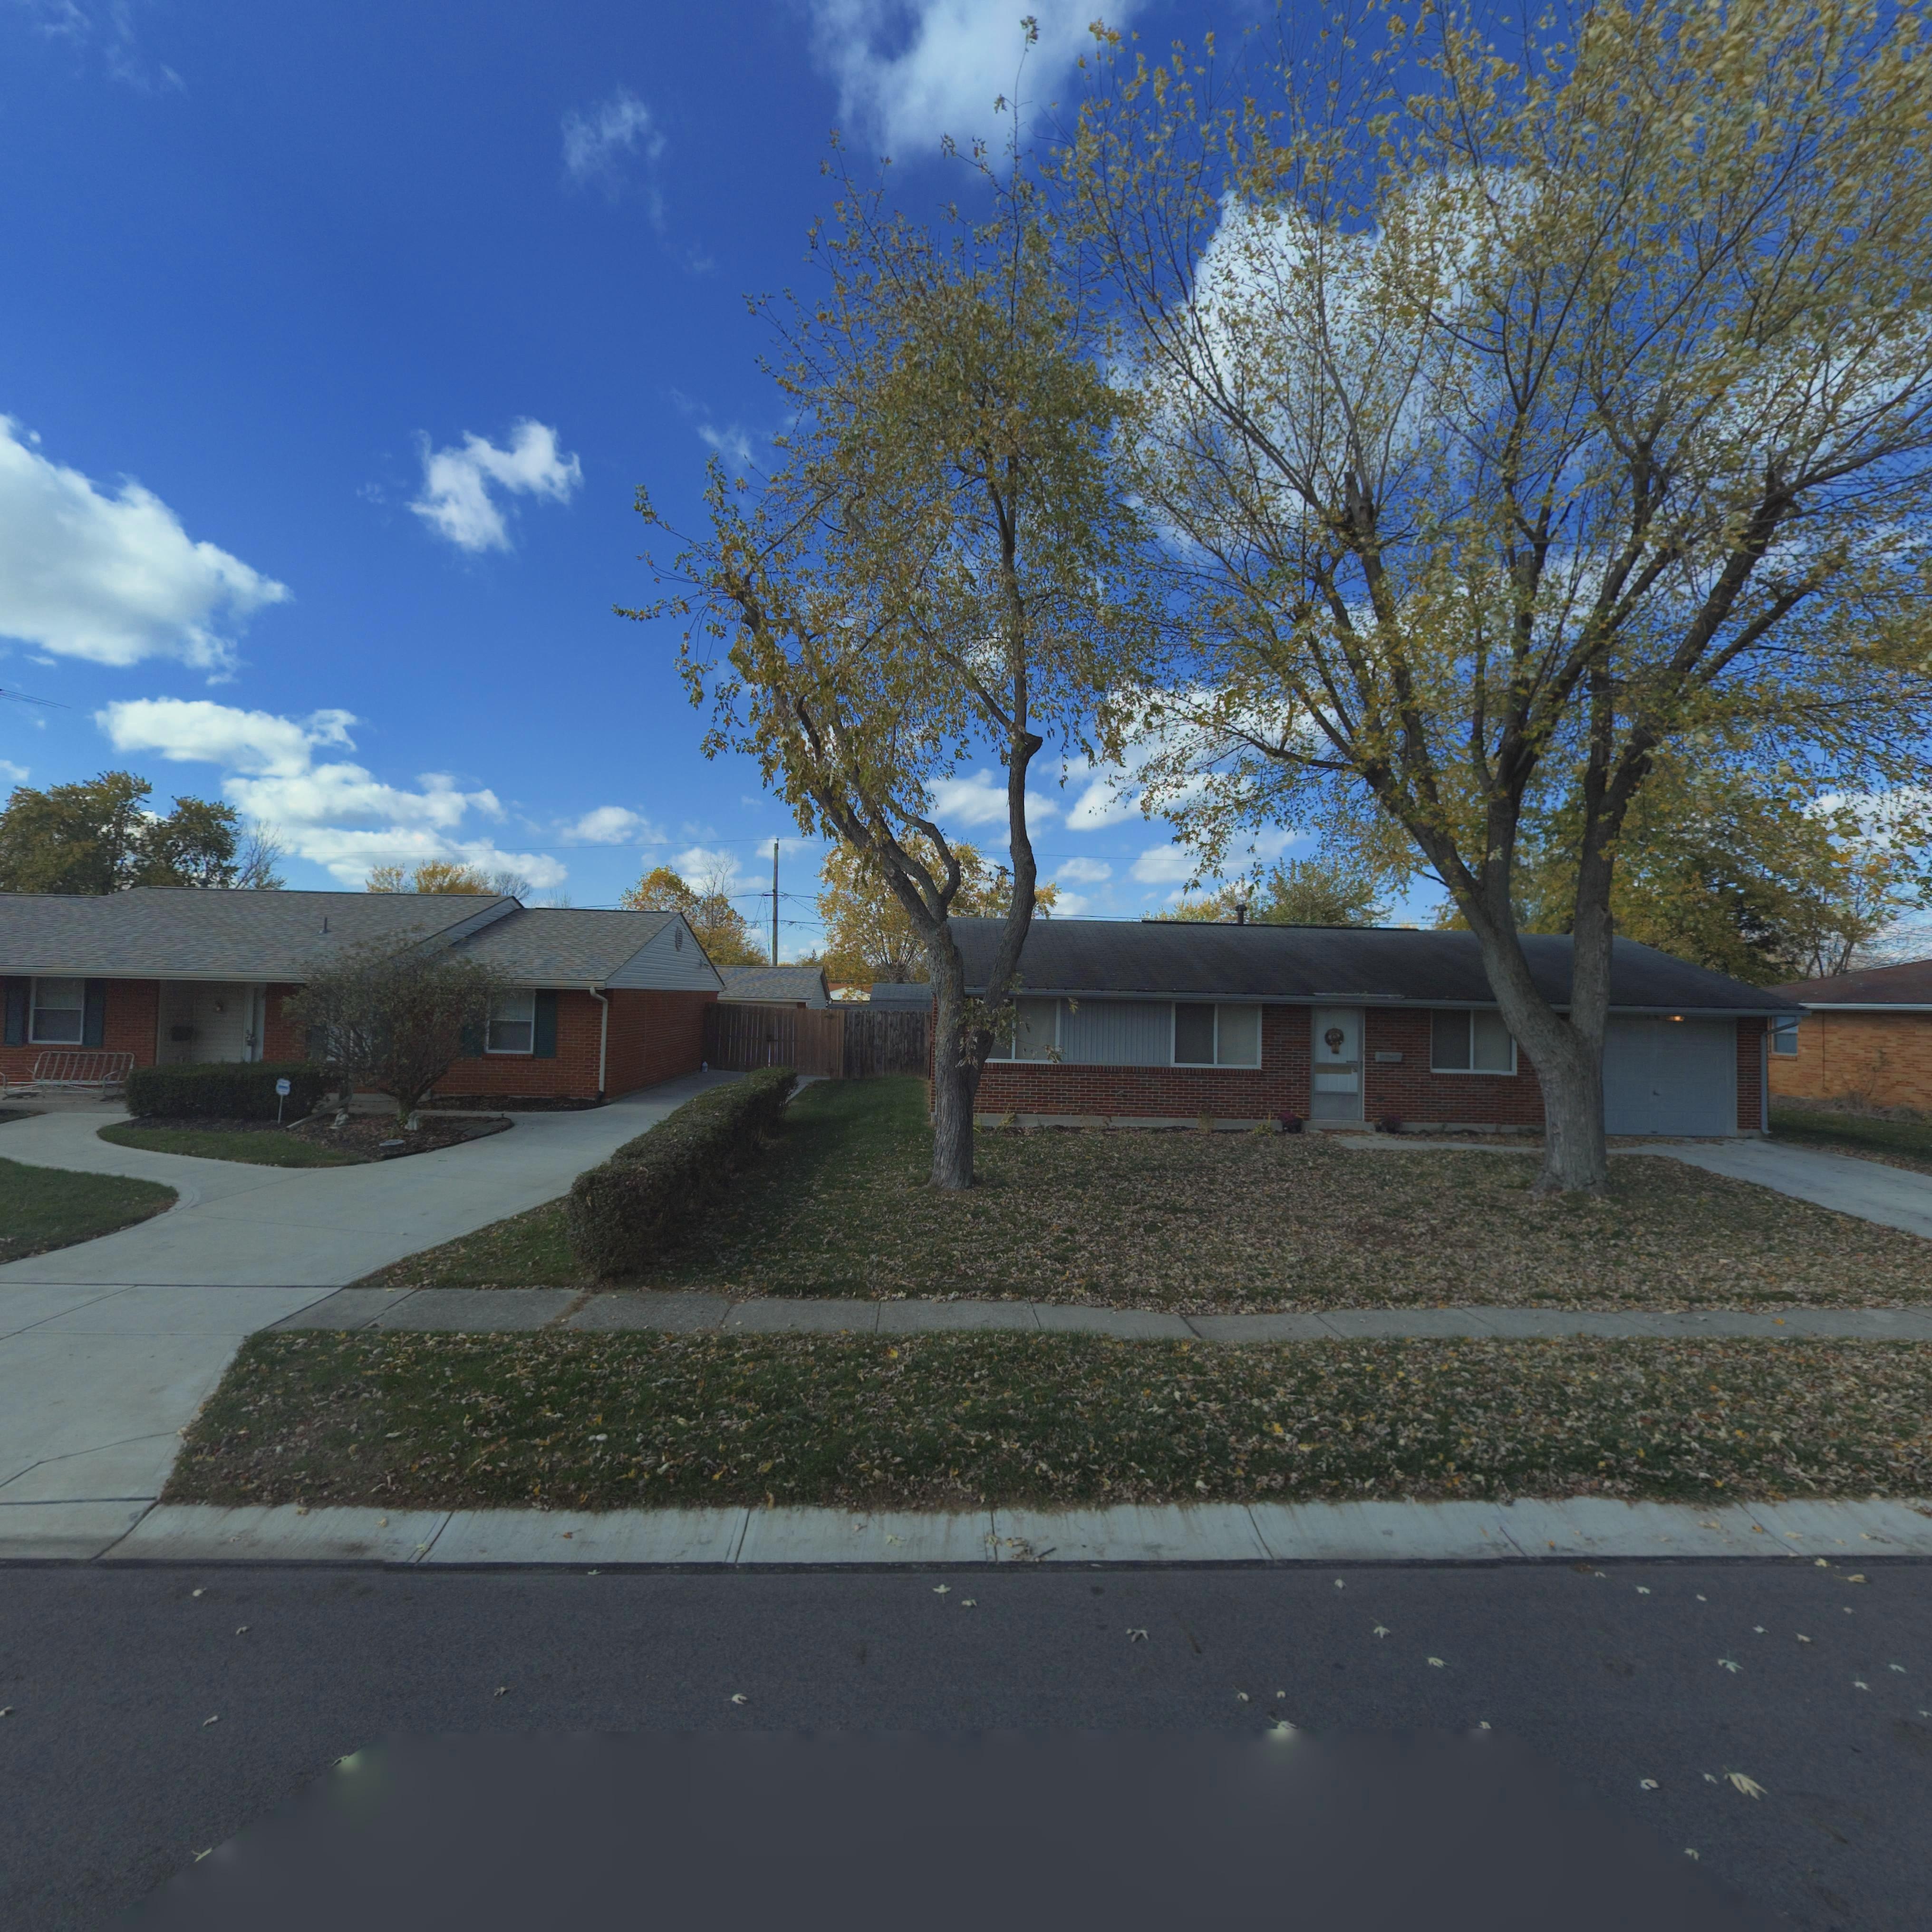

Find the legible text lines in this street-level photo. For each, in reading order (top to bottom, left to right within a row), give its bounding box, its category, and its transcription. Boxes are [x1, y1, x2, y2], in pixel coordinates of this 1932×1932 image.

[1643, 1014, 1660, 1021] StreetNumber: 7*